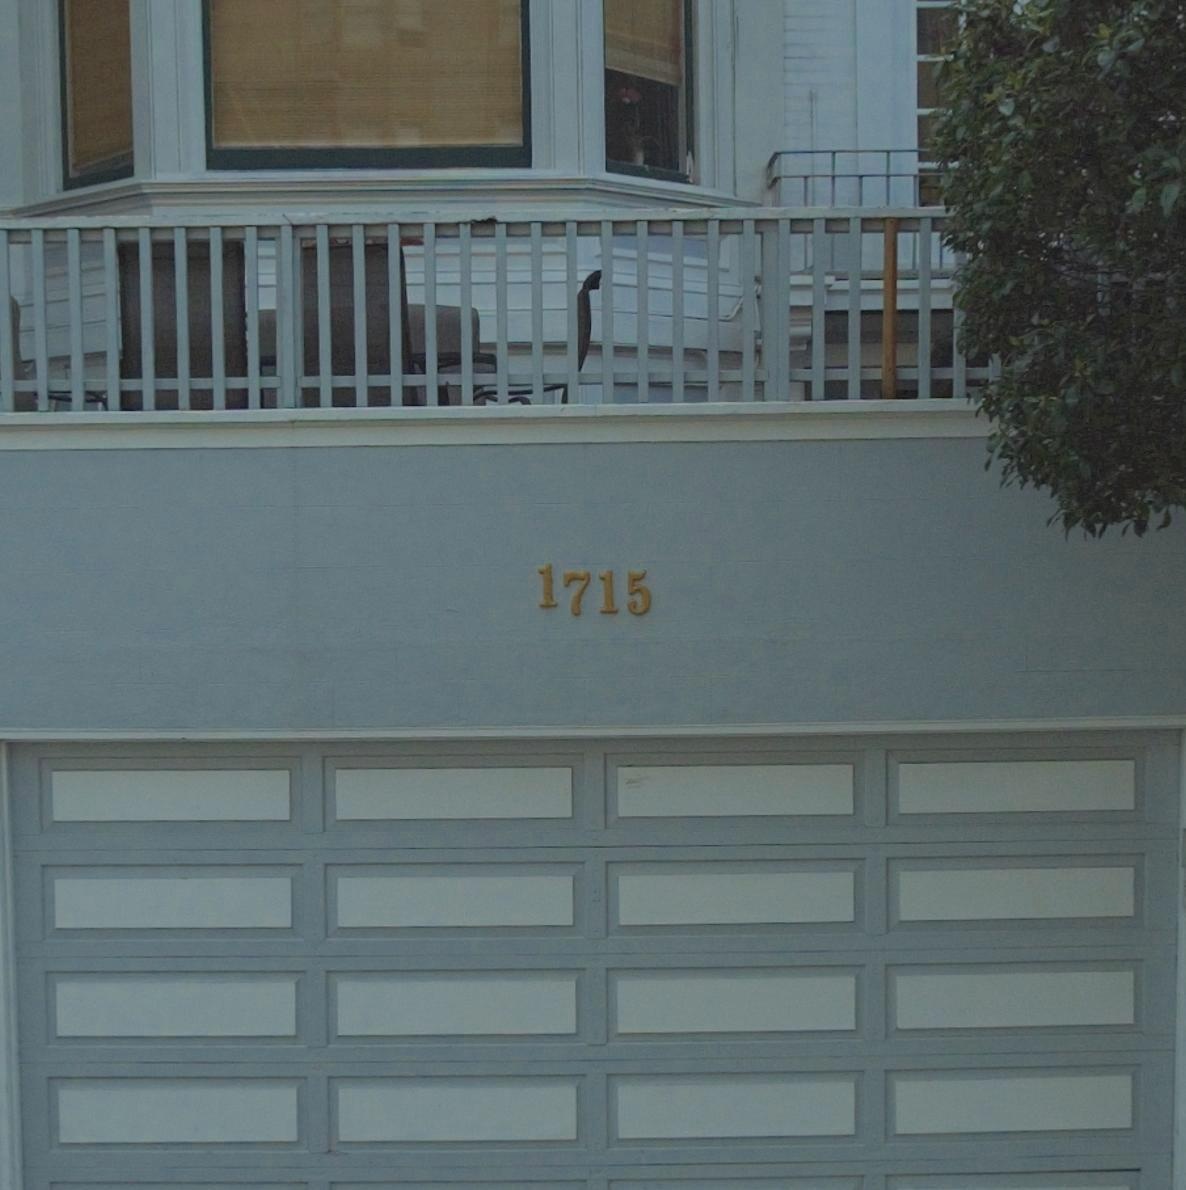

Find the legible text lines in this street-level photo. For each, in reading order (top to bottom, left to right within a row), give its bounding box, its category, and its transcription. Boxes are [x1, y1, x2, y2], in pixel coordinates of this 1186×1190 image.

[535, 559, 655, 620] StreetNumber: 1715